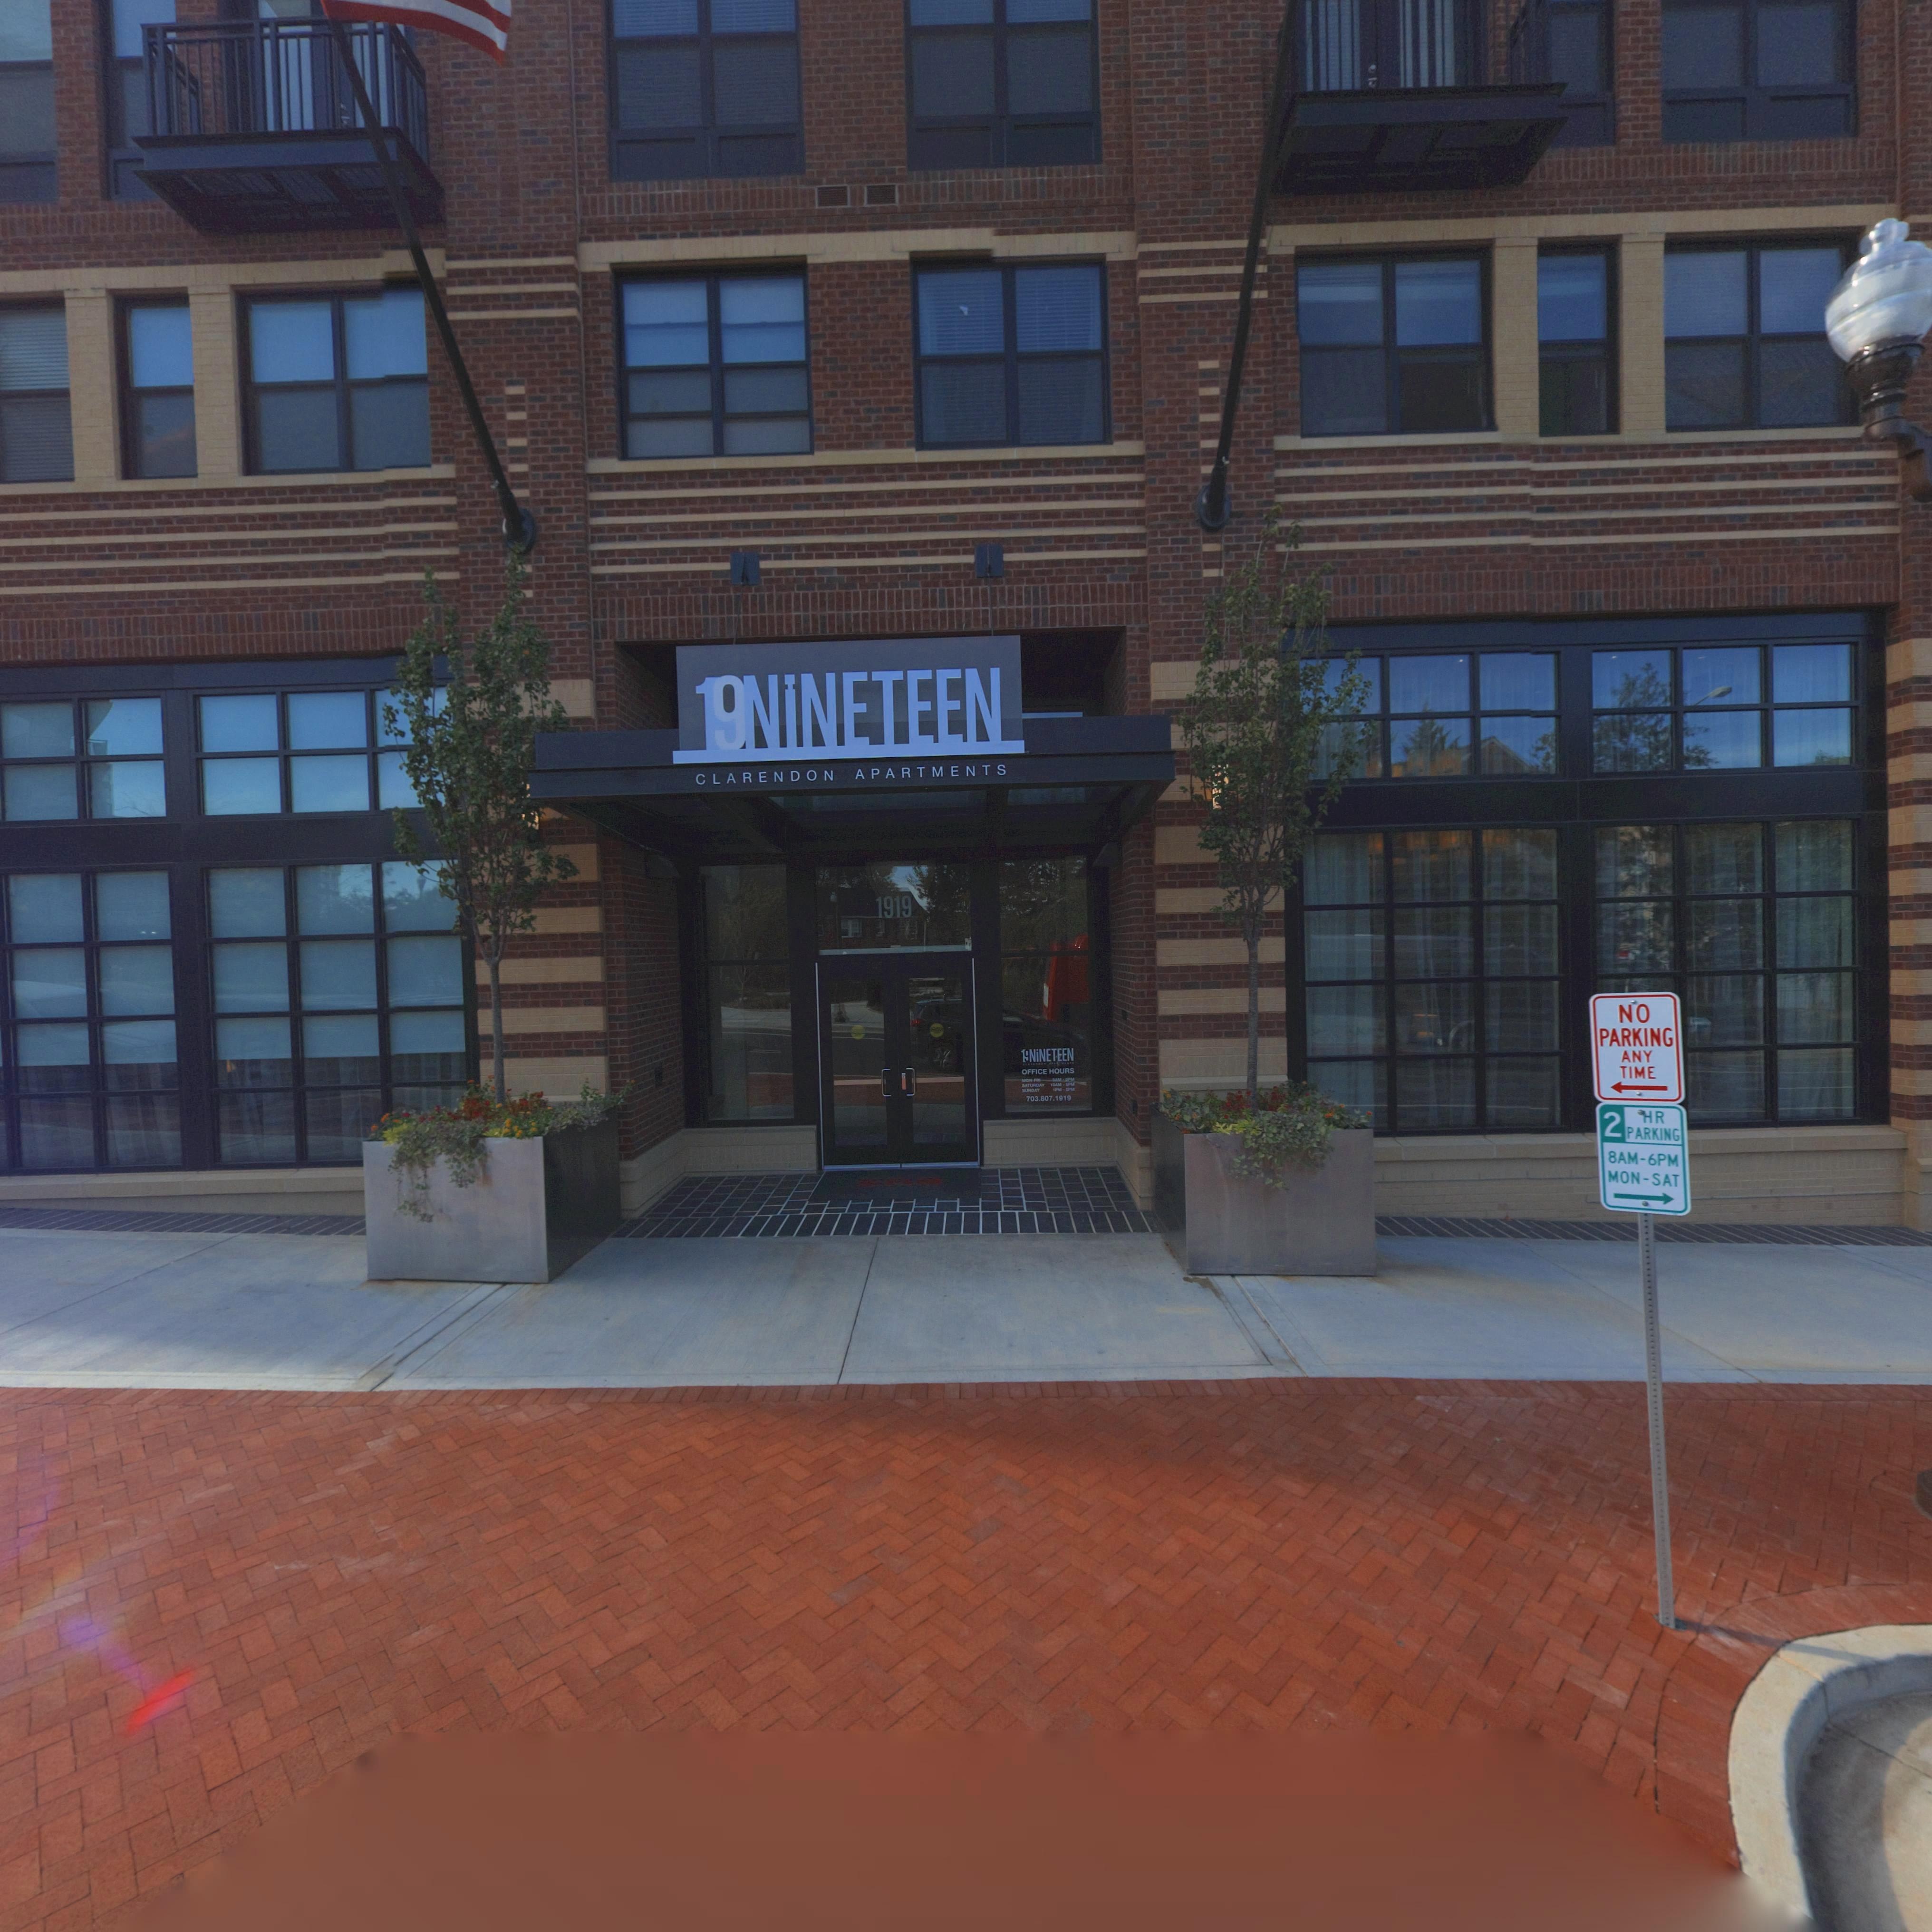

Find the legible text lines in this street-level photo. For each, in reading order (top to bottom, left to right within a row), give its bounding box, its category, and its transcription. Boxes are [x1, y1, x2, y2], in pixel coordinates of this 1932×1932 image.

[739, 665, 1004, 752] None: NiNETEEN
[694, 763, 1008, 787] None: CLARENDON APARTMENTS
[874, 893, 914, 920] StreetNumber: 1919
[1617, 1002, 1652, 1025] None: NO
[1597, 1025, 1676, 1049] None: PARKING
[1028, 1047, 1075, 1063] None: NiNETEEN
[1619, 1048, 1654, 1064] None: ANY
[1020, 1087, 1041, 1093] None: SUNDAY
[1021, 1077, 1042, 1083] None: MON-FRI
[1021, 1082, 1045, 1088] None: SATURDAY
[1021, 1066, 1076, 1076] None: OFFICE HOURS
[1024, 1094, 1072, 1103] None: 703.807.1919
[1617, 1064, 1658, 1081] None: TIME
[1600, 1110, 1624, 1139] None: 2
[1641, 1108, 1667, 1126] None: HR
[1625, 1125, 1682, 1143] None: PARKING
[1606, 1149, 1681, 1169] None: 8AM-6PM
[1606, 1168, 1681, 1189] None: MON-SAT